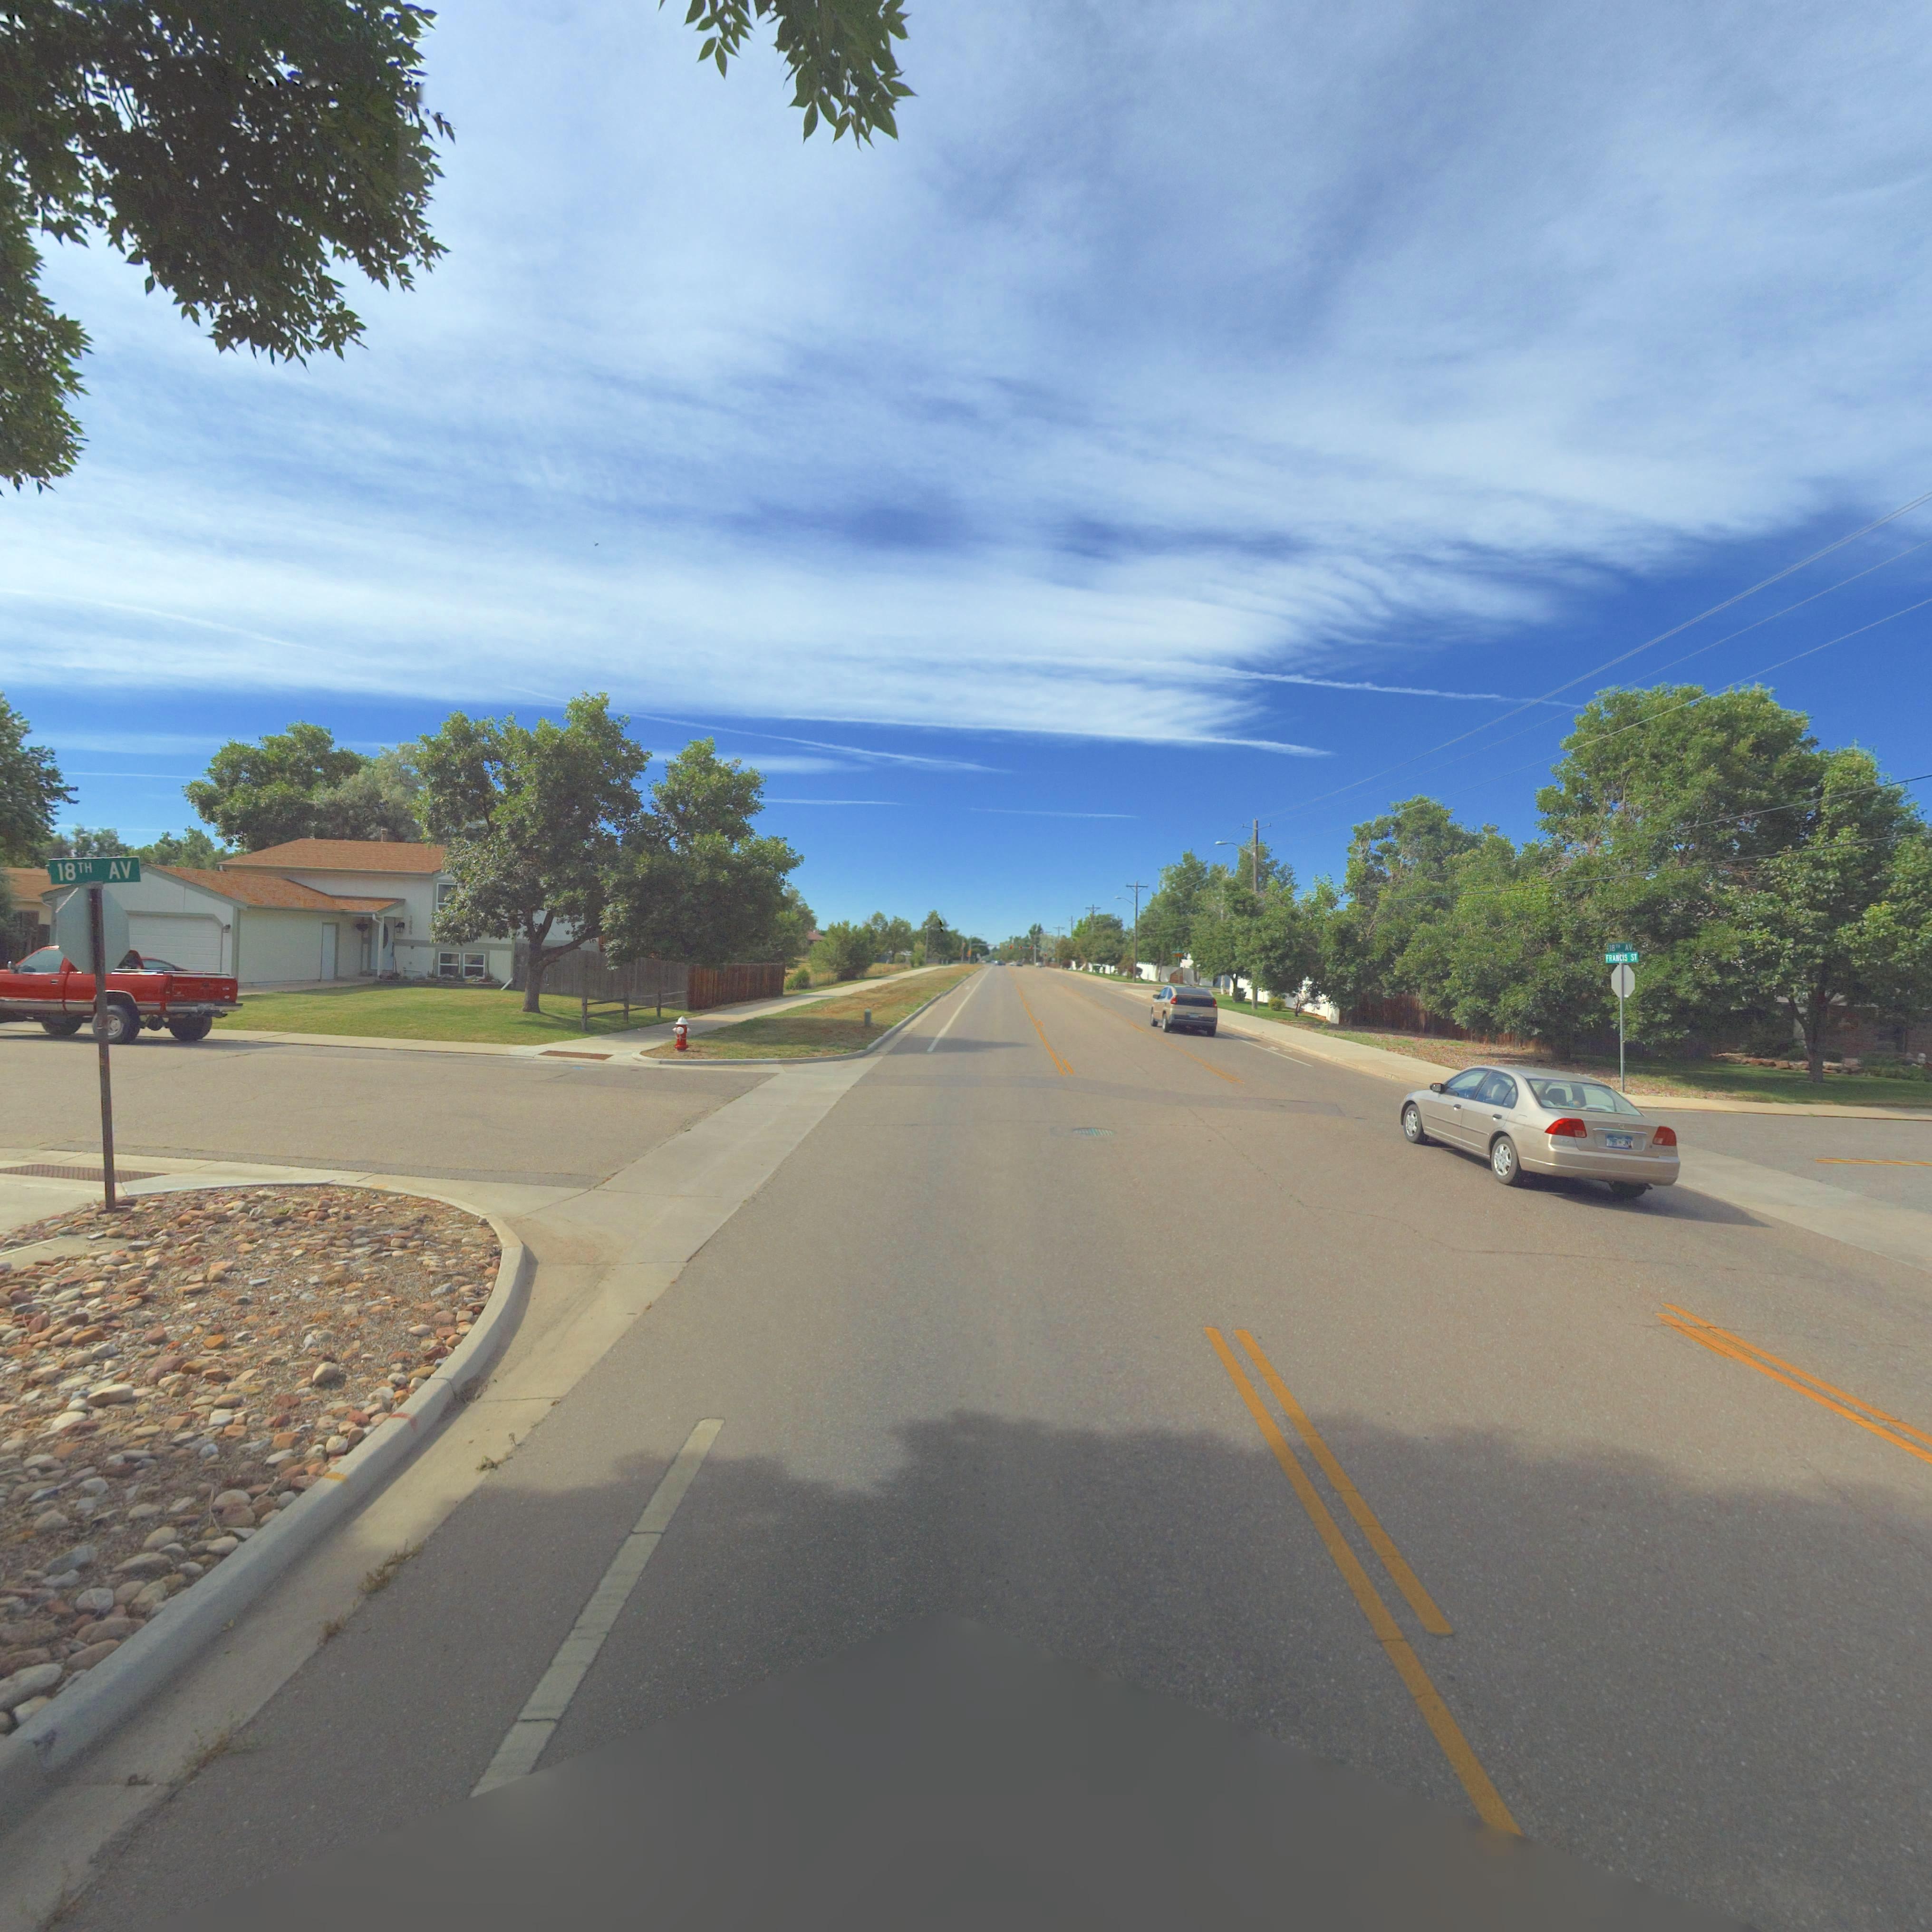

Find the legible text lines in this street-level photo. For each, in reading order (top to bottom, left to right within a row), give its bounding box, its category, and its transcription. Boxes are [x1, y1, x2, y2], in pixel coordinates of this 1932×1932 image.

[57, 860, 132, 881] StreetName: 18TH AV
[408, 914, 413, 935] StreetNumber: 15**
[1609, 943, 1633, 951] StreetName: 18TH AV
[1606, 954, 1637, 962] StreetName: FRANCIS ST